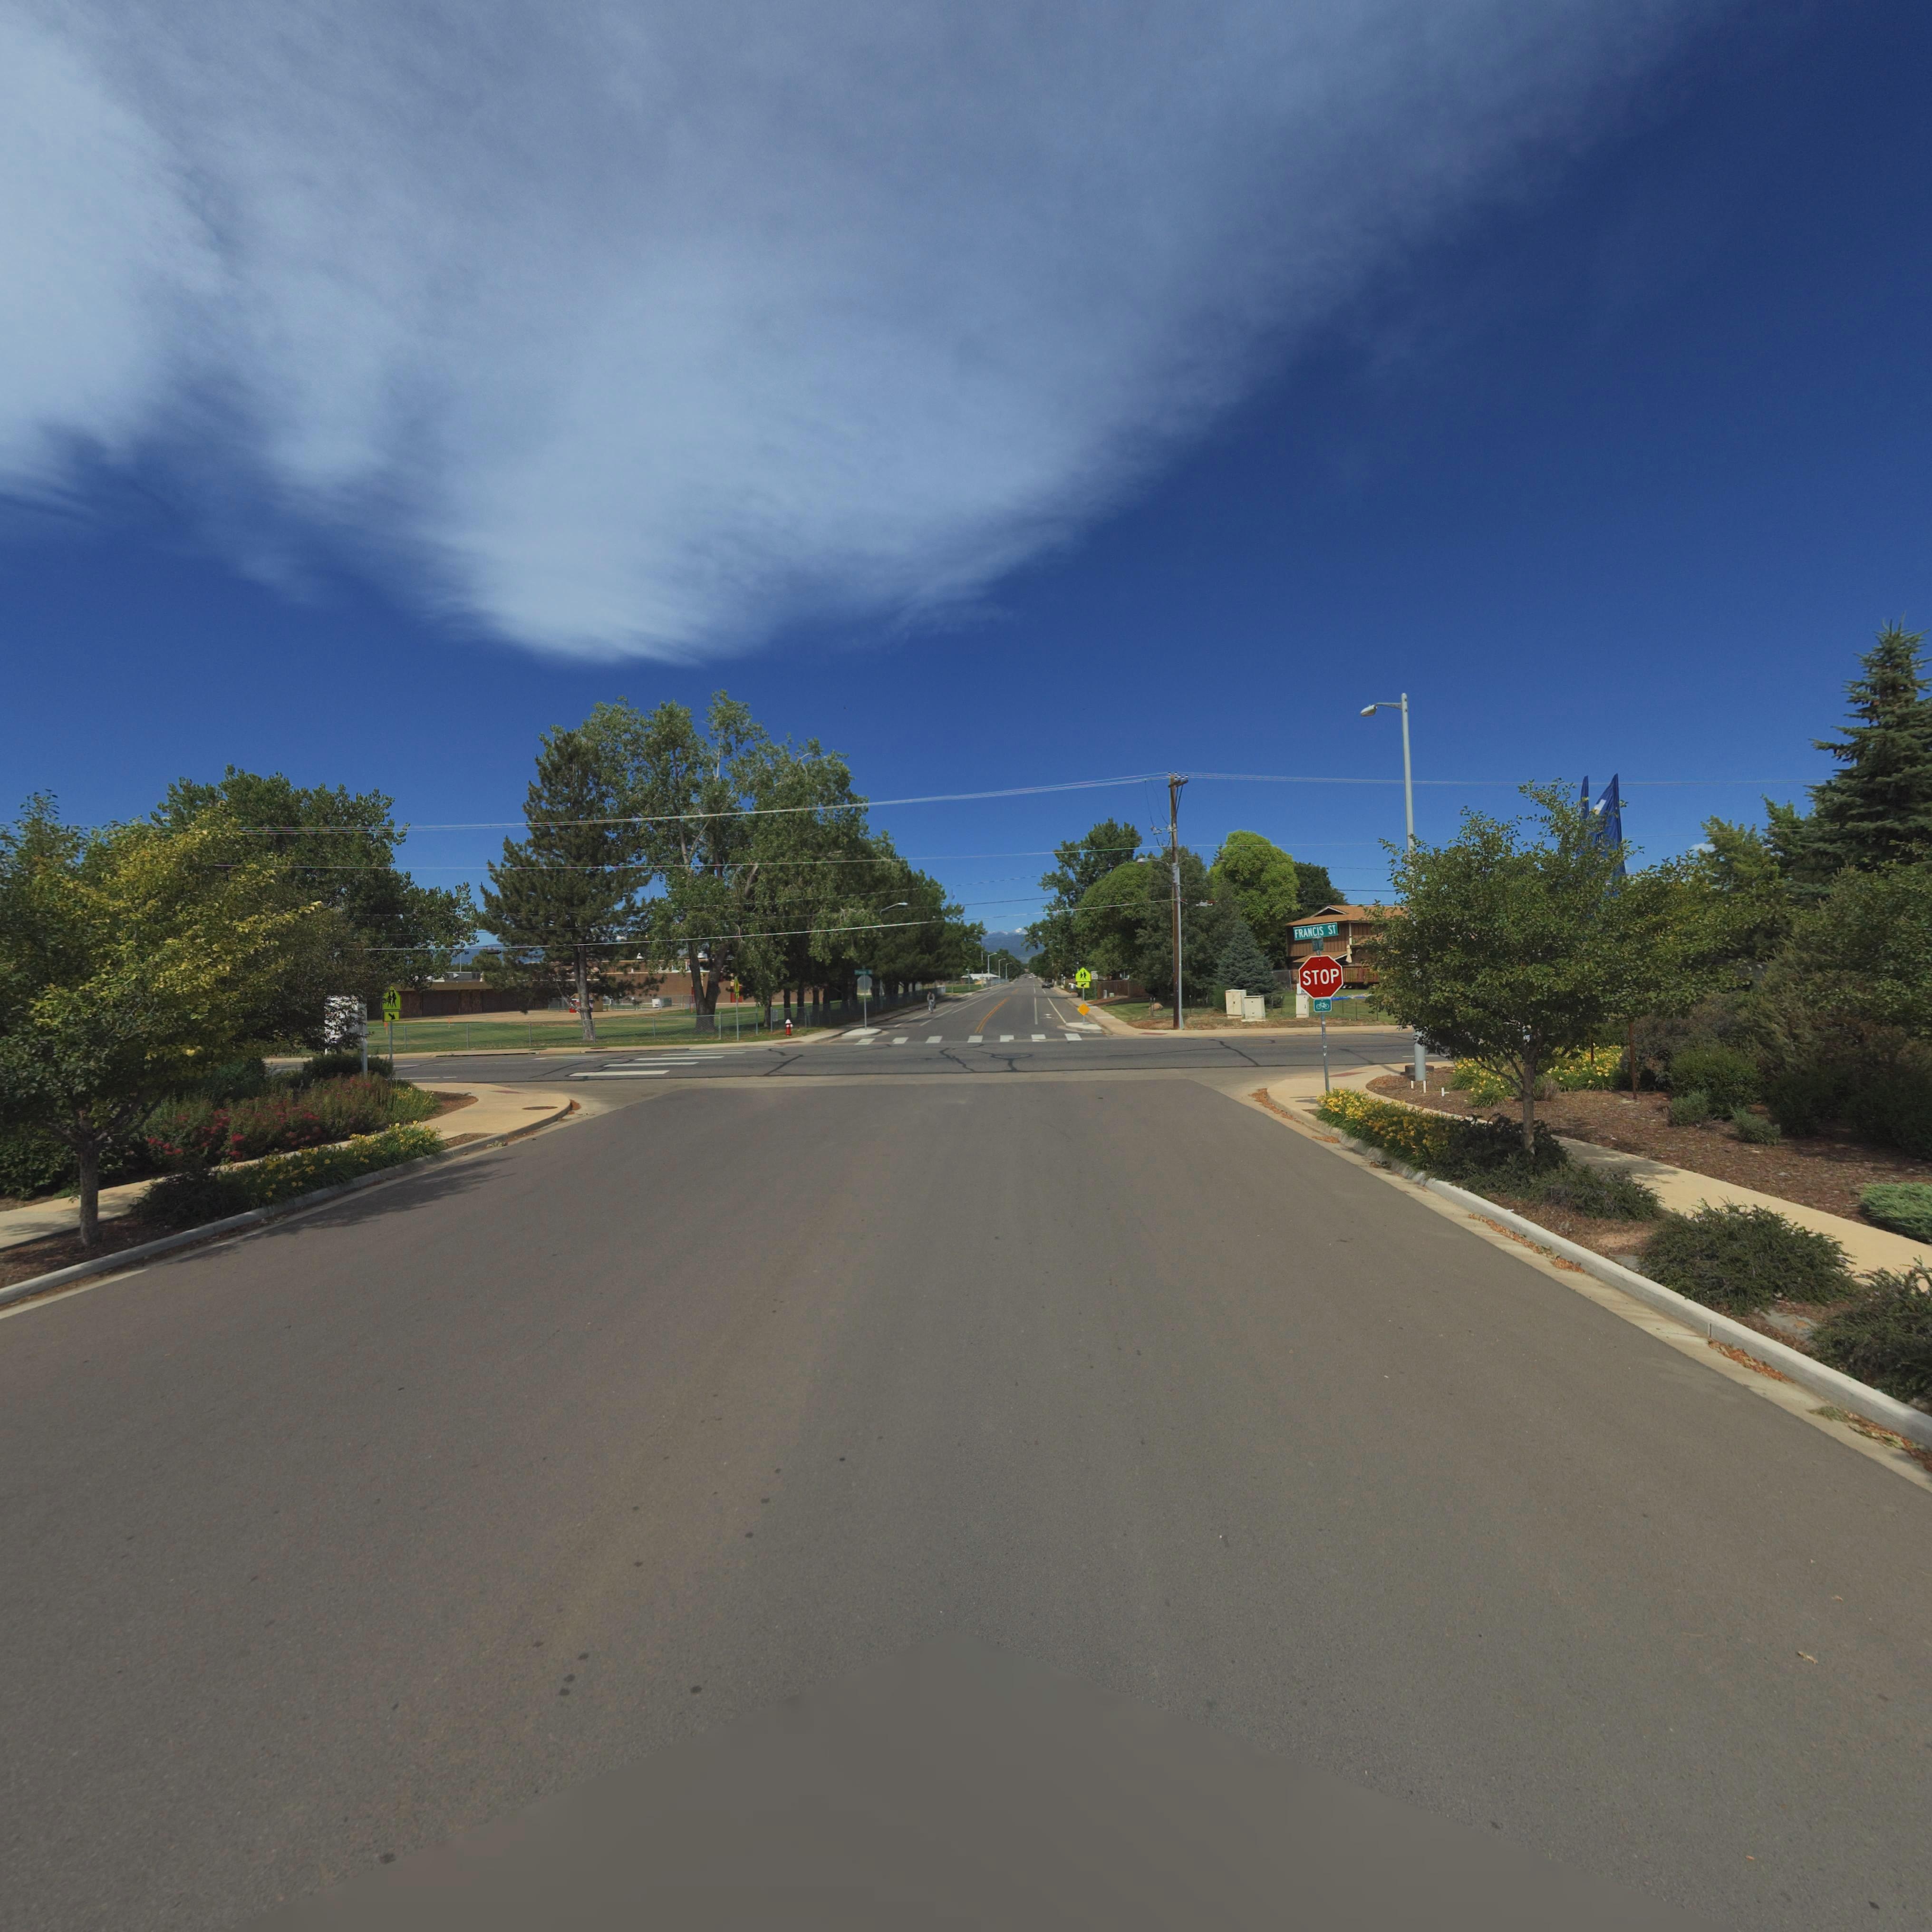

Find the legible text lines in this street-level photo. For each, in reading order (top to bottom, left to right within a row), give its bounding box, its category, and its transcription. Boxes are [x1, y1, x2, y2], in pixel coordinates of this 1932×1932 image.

[1294, 924, 1336, 938] StreetName: FRANCIS ST
[1312, 939, 1323, 950] StreetName: **** **E